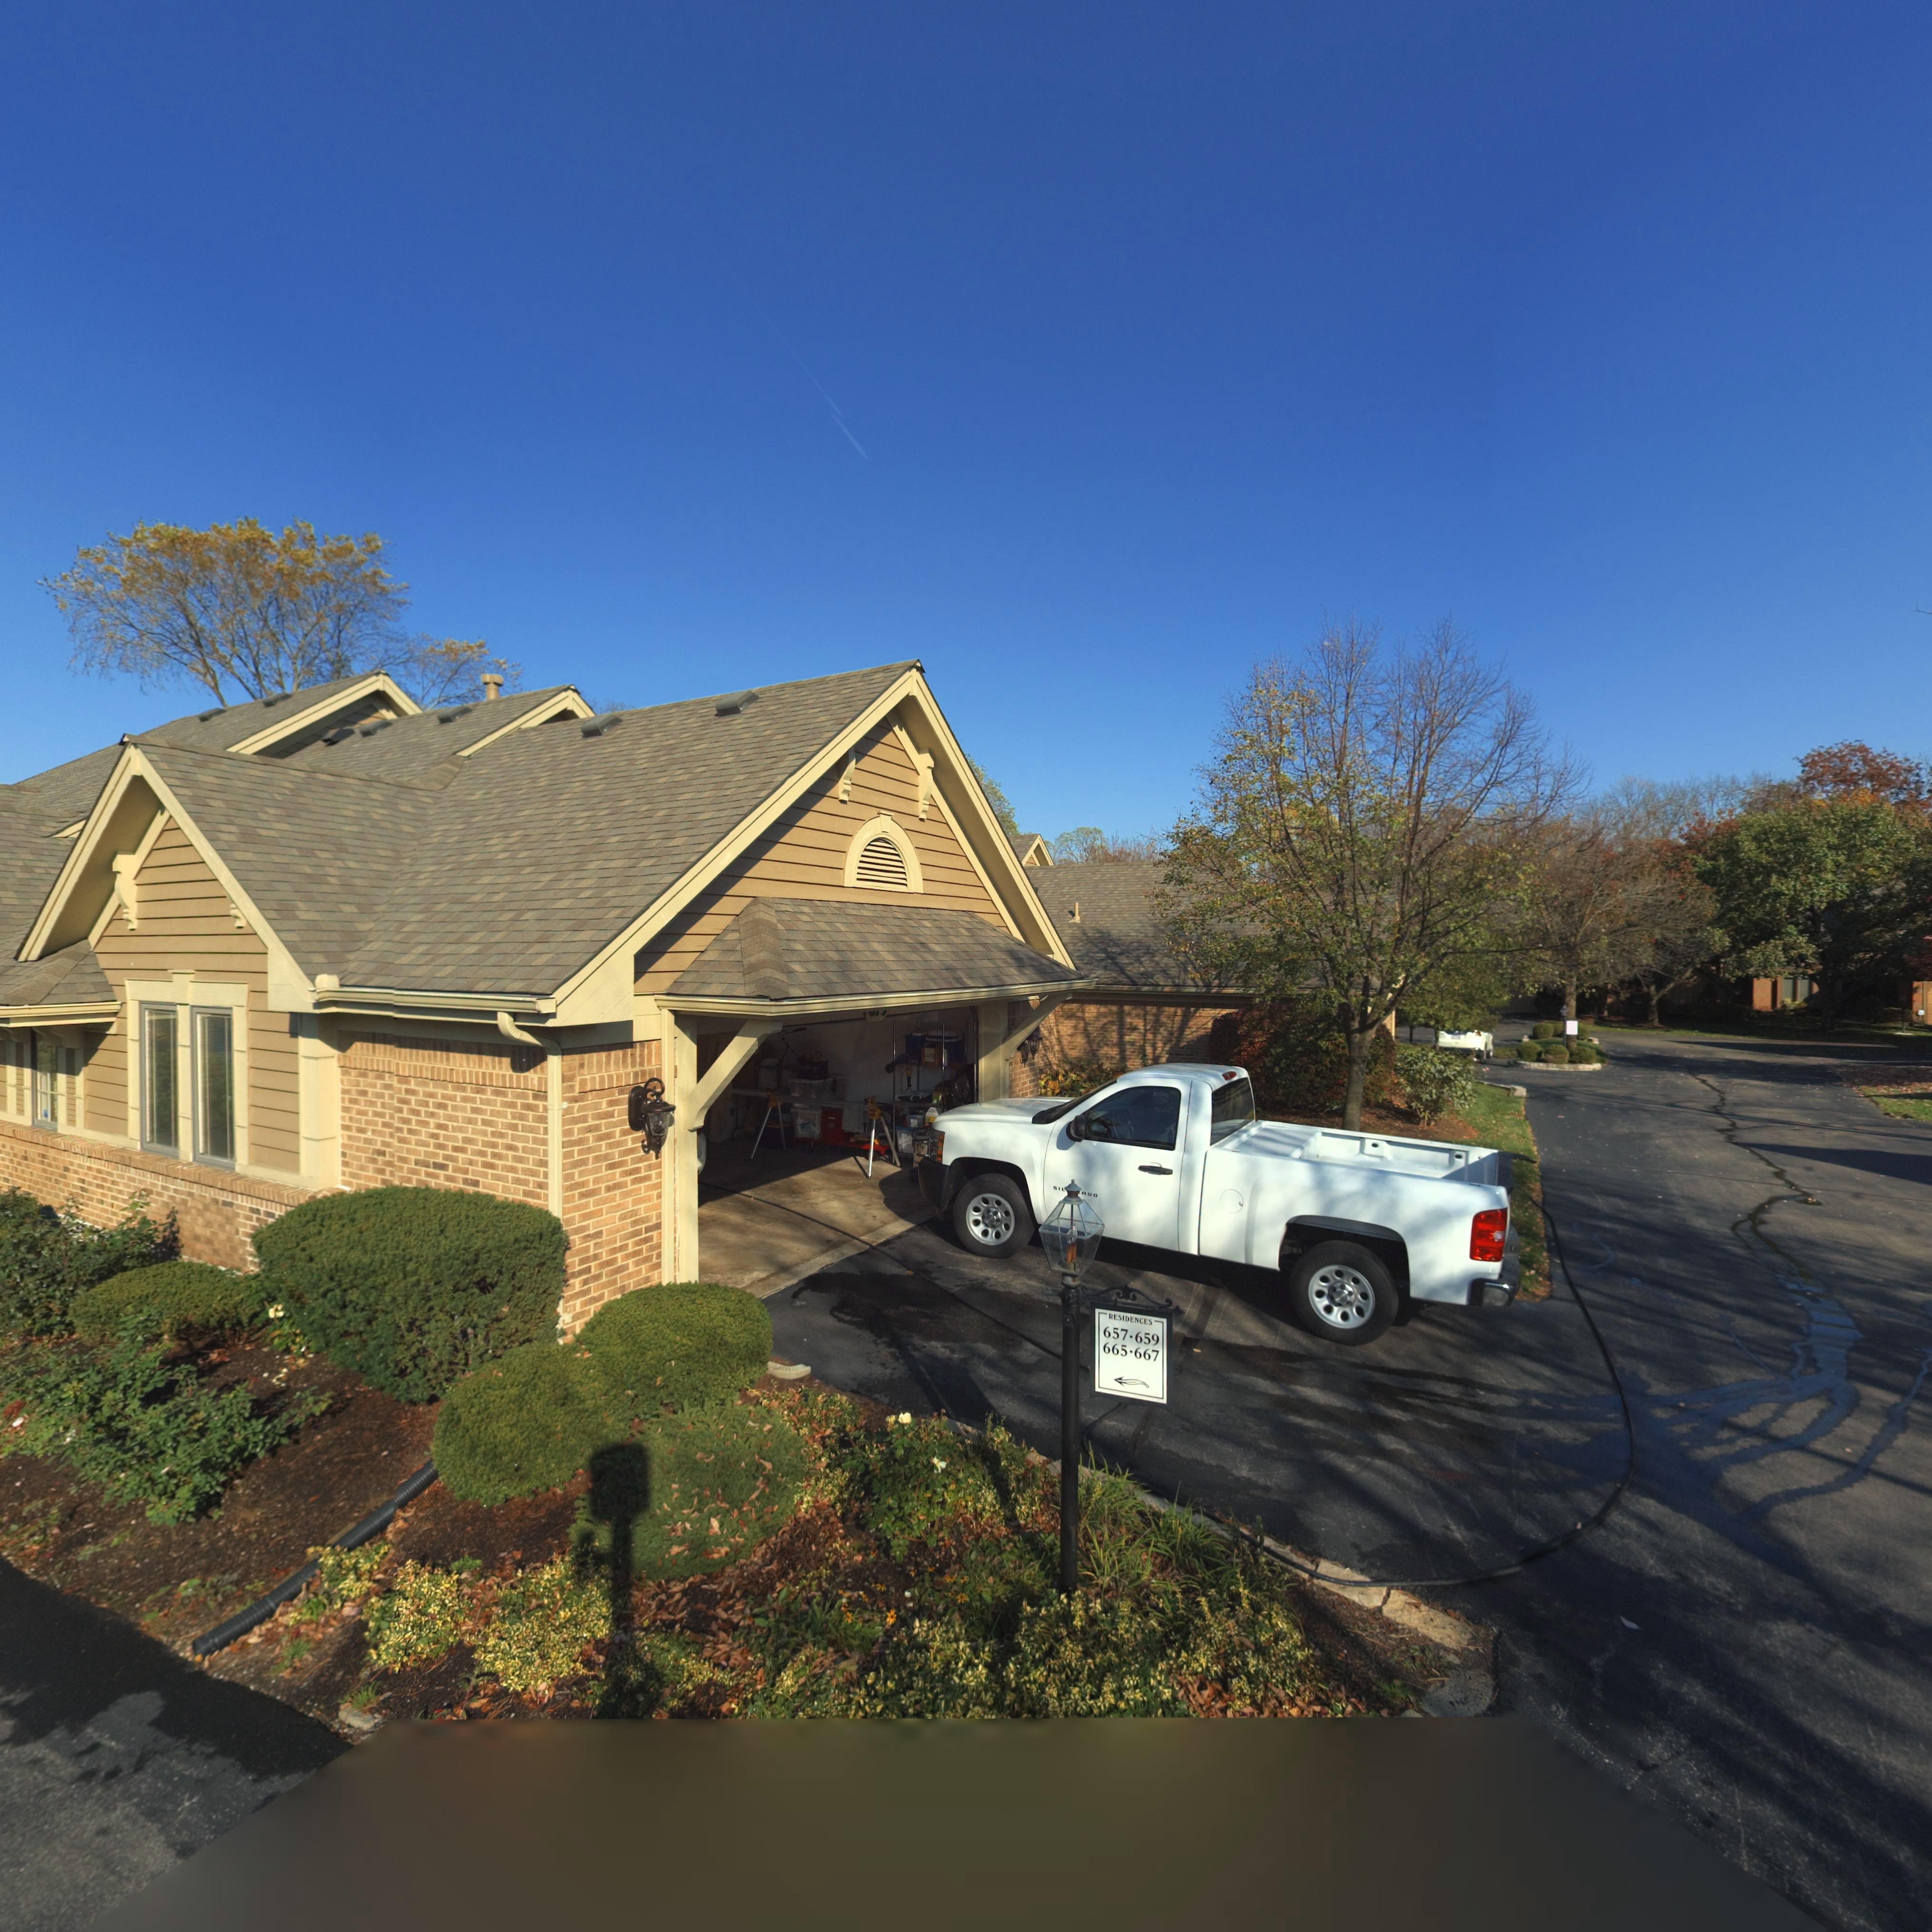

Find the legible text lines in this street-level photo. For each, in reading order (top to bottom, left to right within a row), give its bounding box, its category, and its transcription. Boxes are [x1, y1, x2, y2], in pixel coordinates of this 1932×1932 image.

[1102, 1325, 1130, 1342] StreetNumber: 657
[1133, 1330, 1160, 1347] StreetNumber: 659
[1101, 1342, 1128, 1358] StreetNumber: 665
[1133, 1345, 1161, 1363] StreetNumber: 667